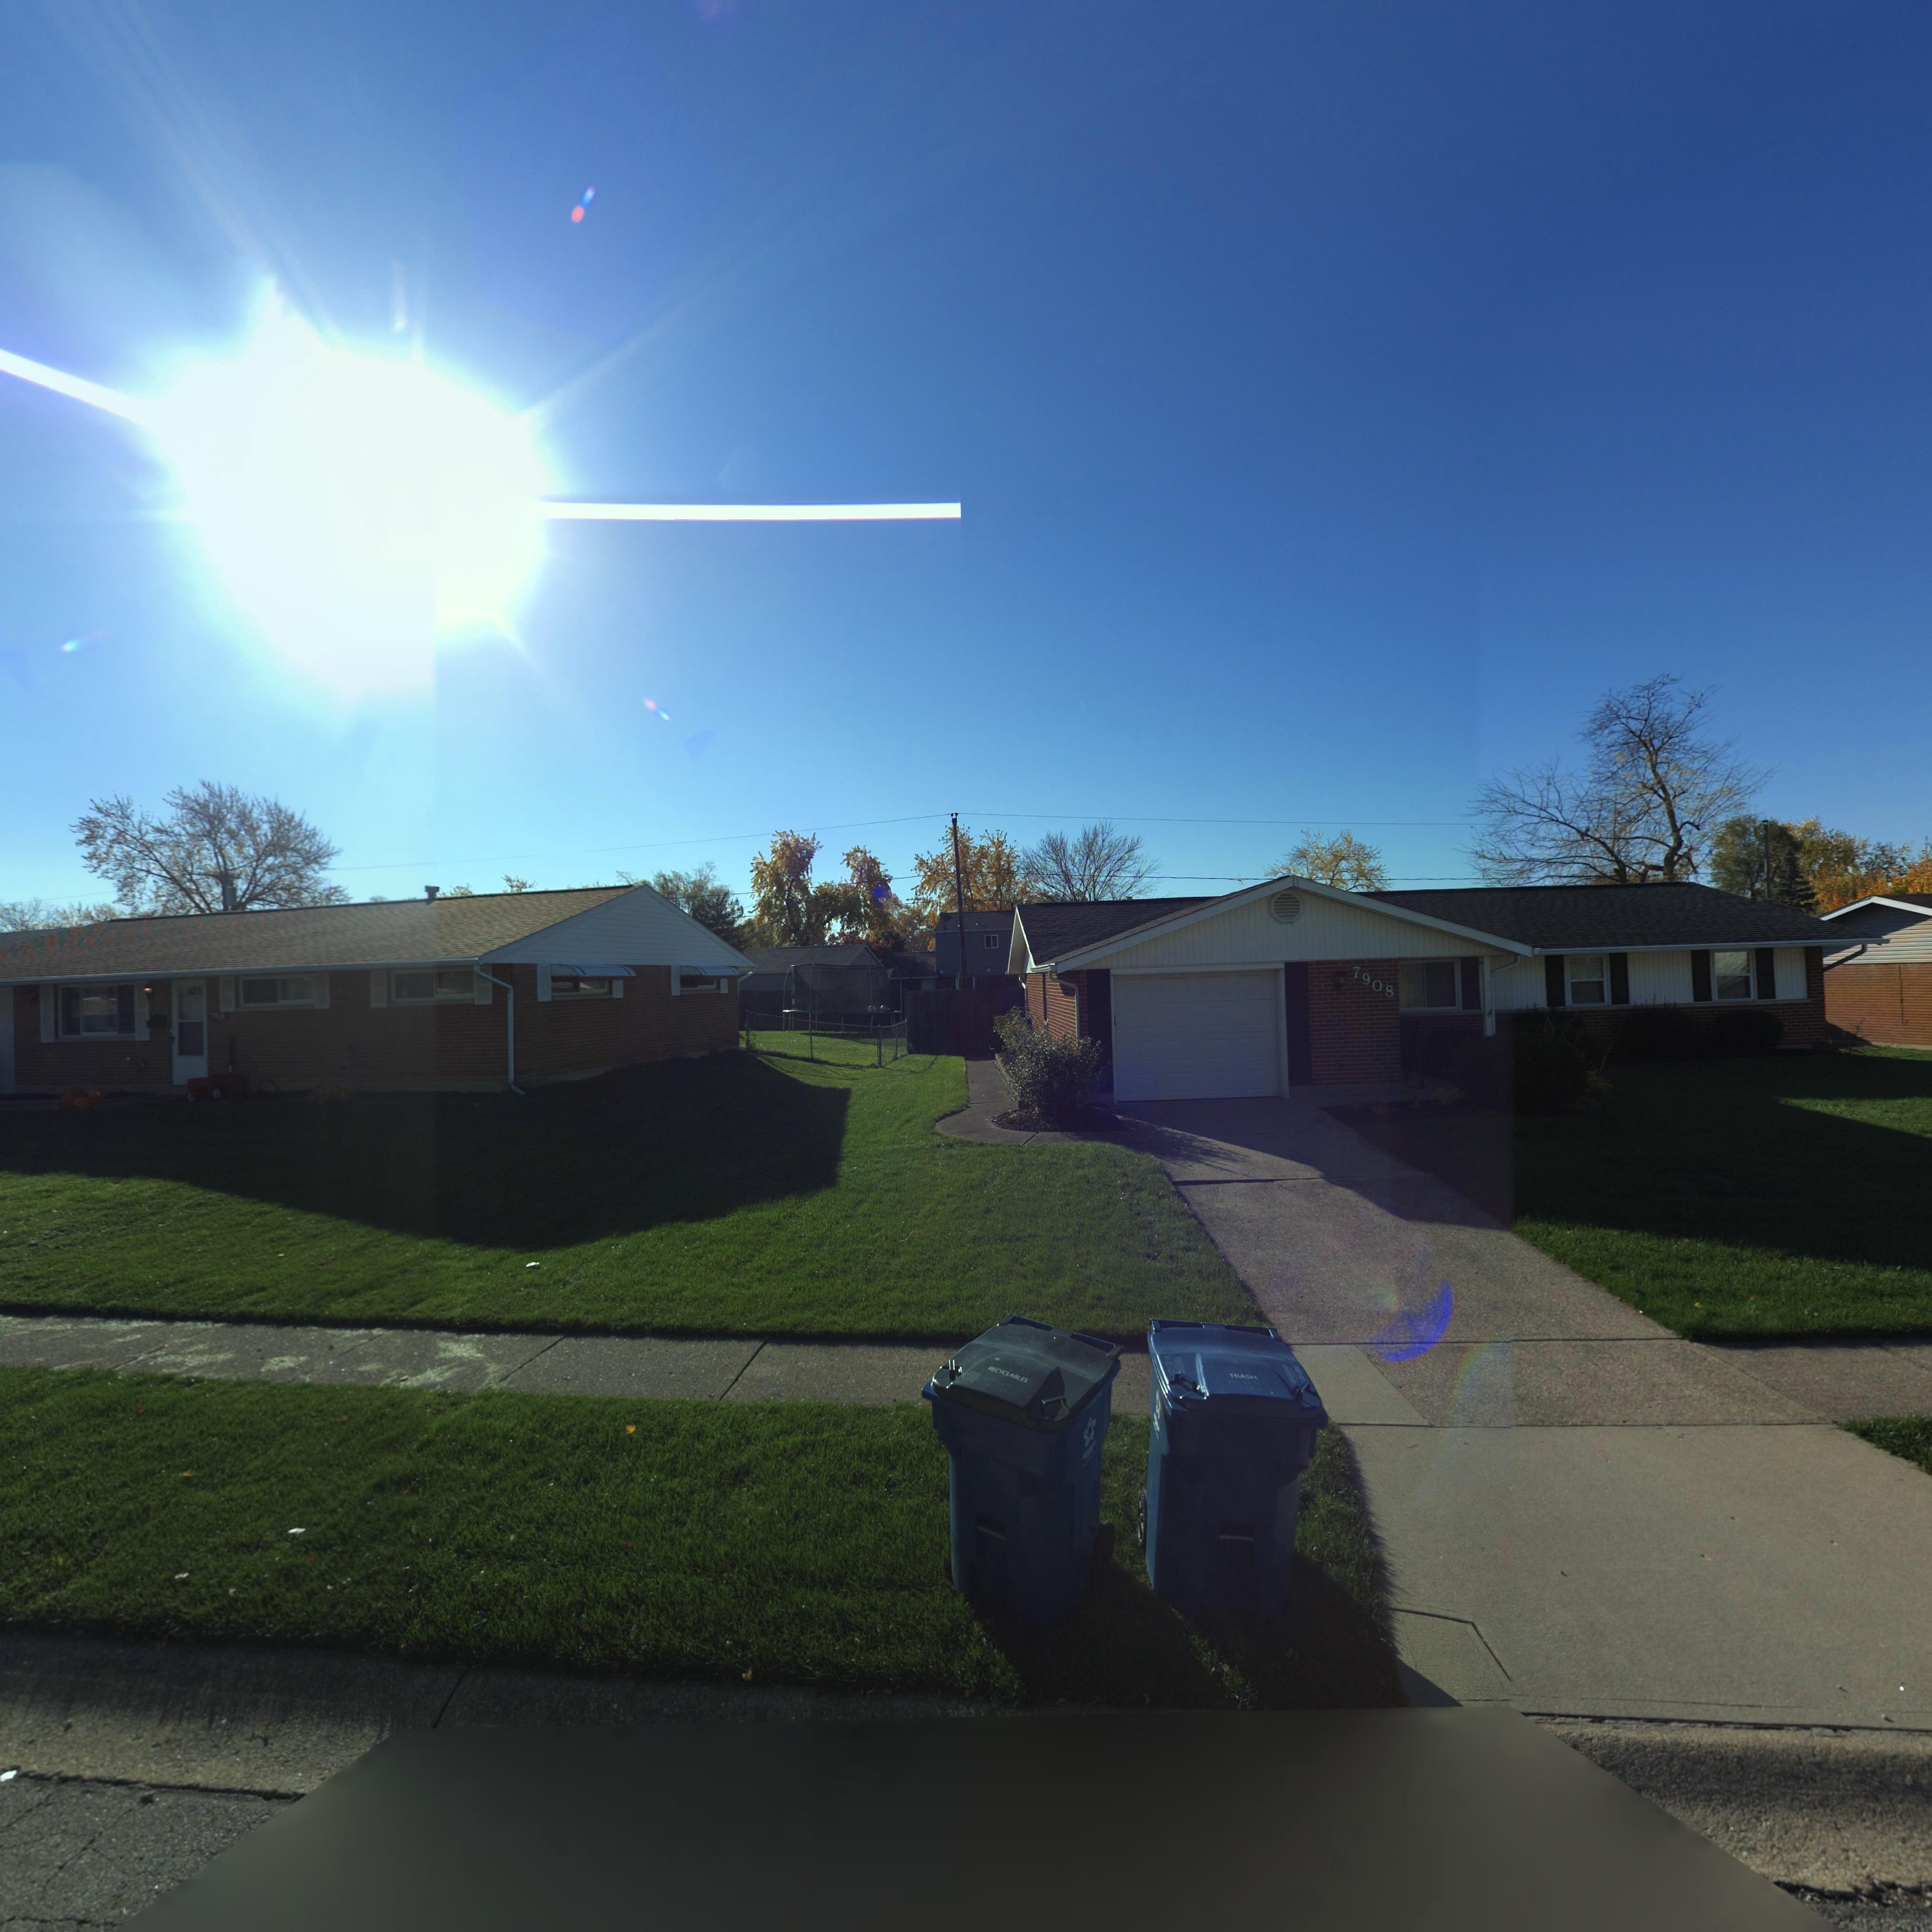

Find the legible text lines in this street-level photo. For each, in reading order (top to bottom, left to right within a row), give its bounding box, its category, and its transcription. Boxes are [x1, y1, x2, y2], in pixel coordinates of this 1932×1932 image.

[1351, 965, 1395, 999] StreetNumber: 7908